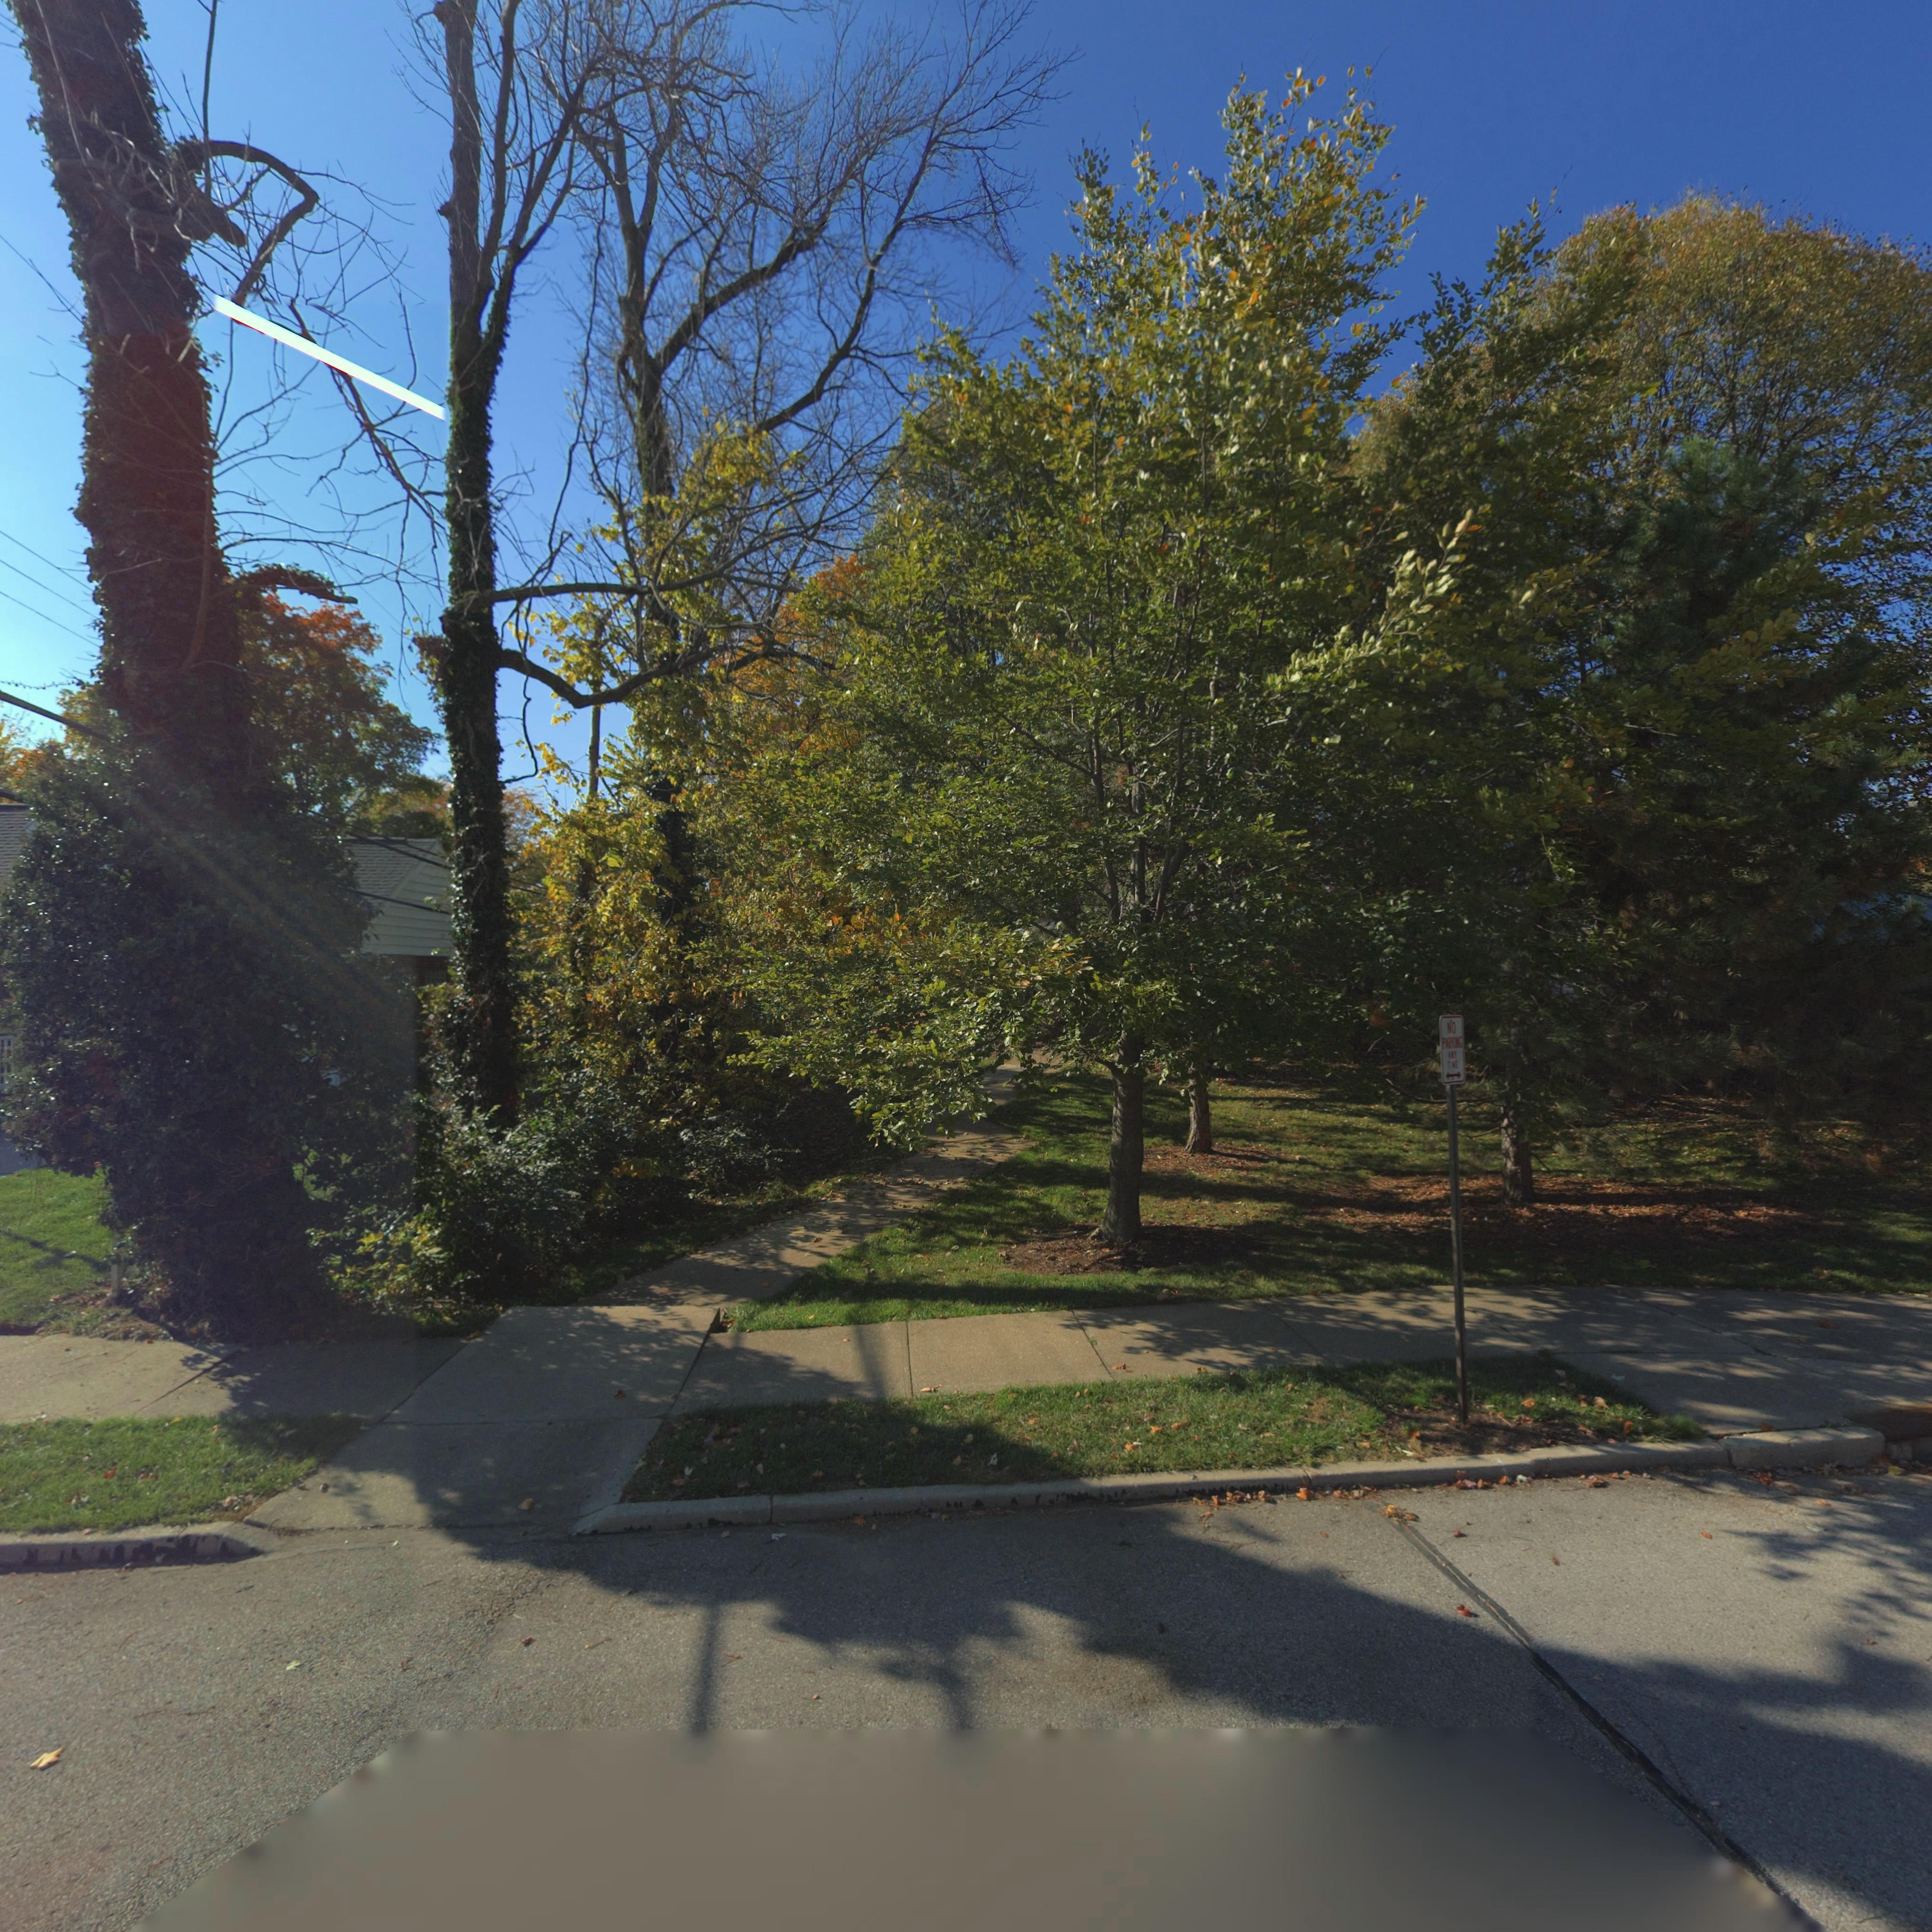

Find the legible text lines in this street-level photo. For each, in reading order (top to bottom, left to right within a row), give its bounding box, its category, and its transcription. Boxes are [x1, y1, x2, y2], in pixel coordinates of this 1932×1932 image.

[1446, 1021, 1456, 1035] None: NO
[1441, 1036, 1463, 1050] None: PARKING
[1448, 1050, 1457, 1059] None: ANY
[1446, 1060, 1459, 1070] None: TIME